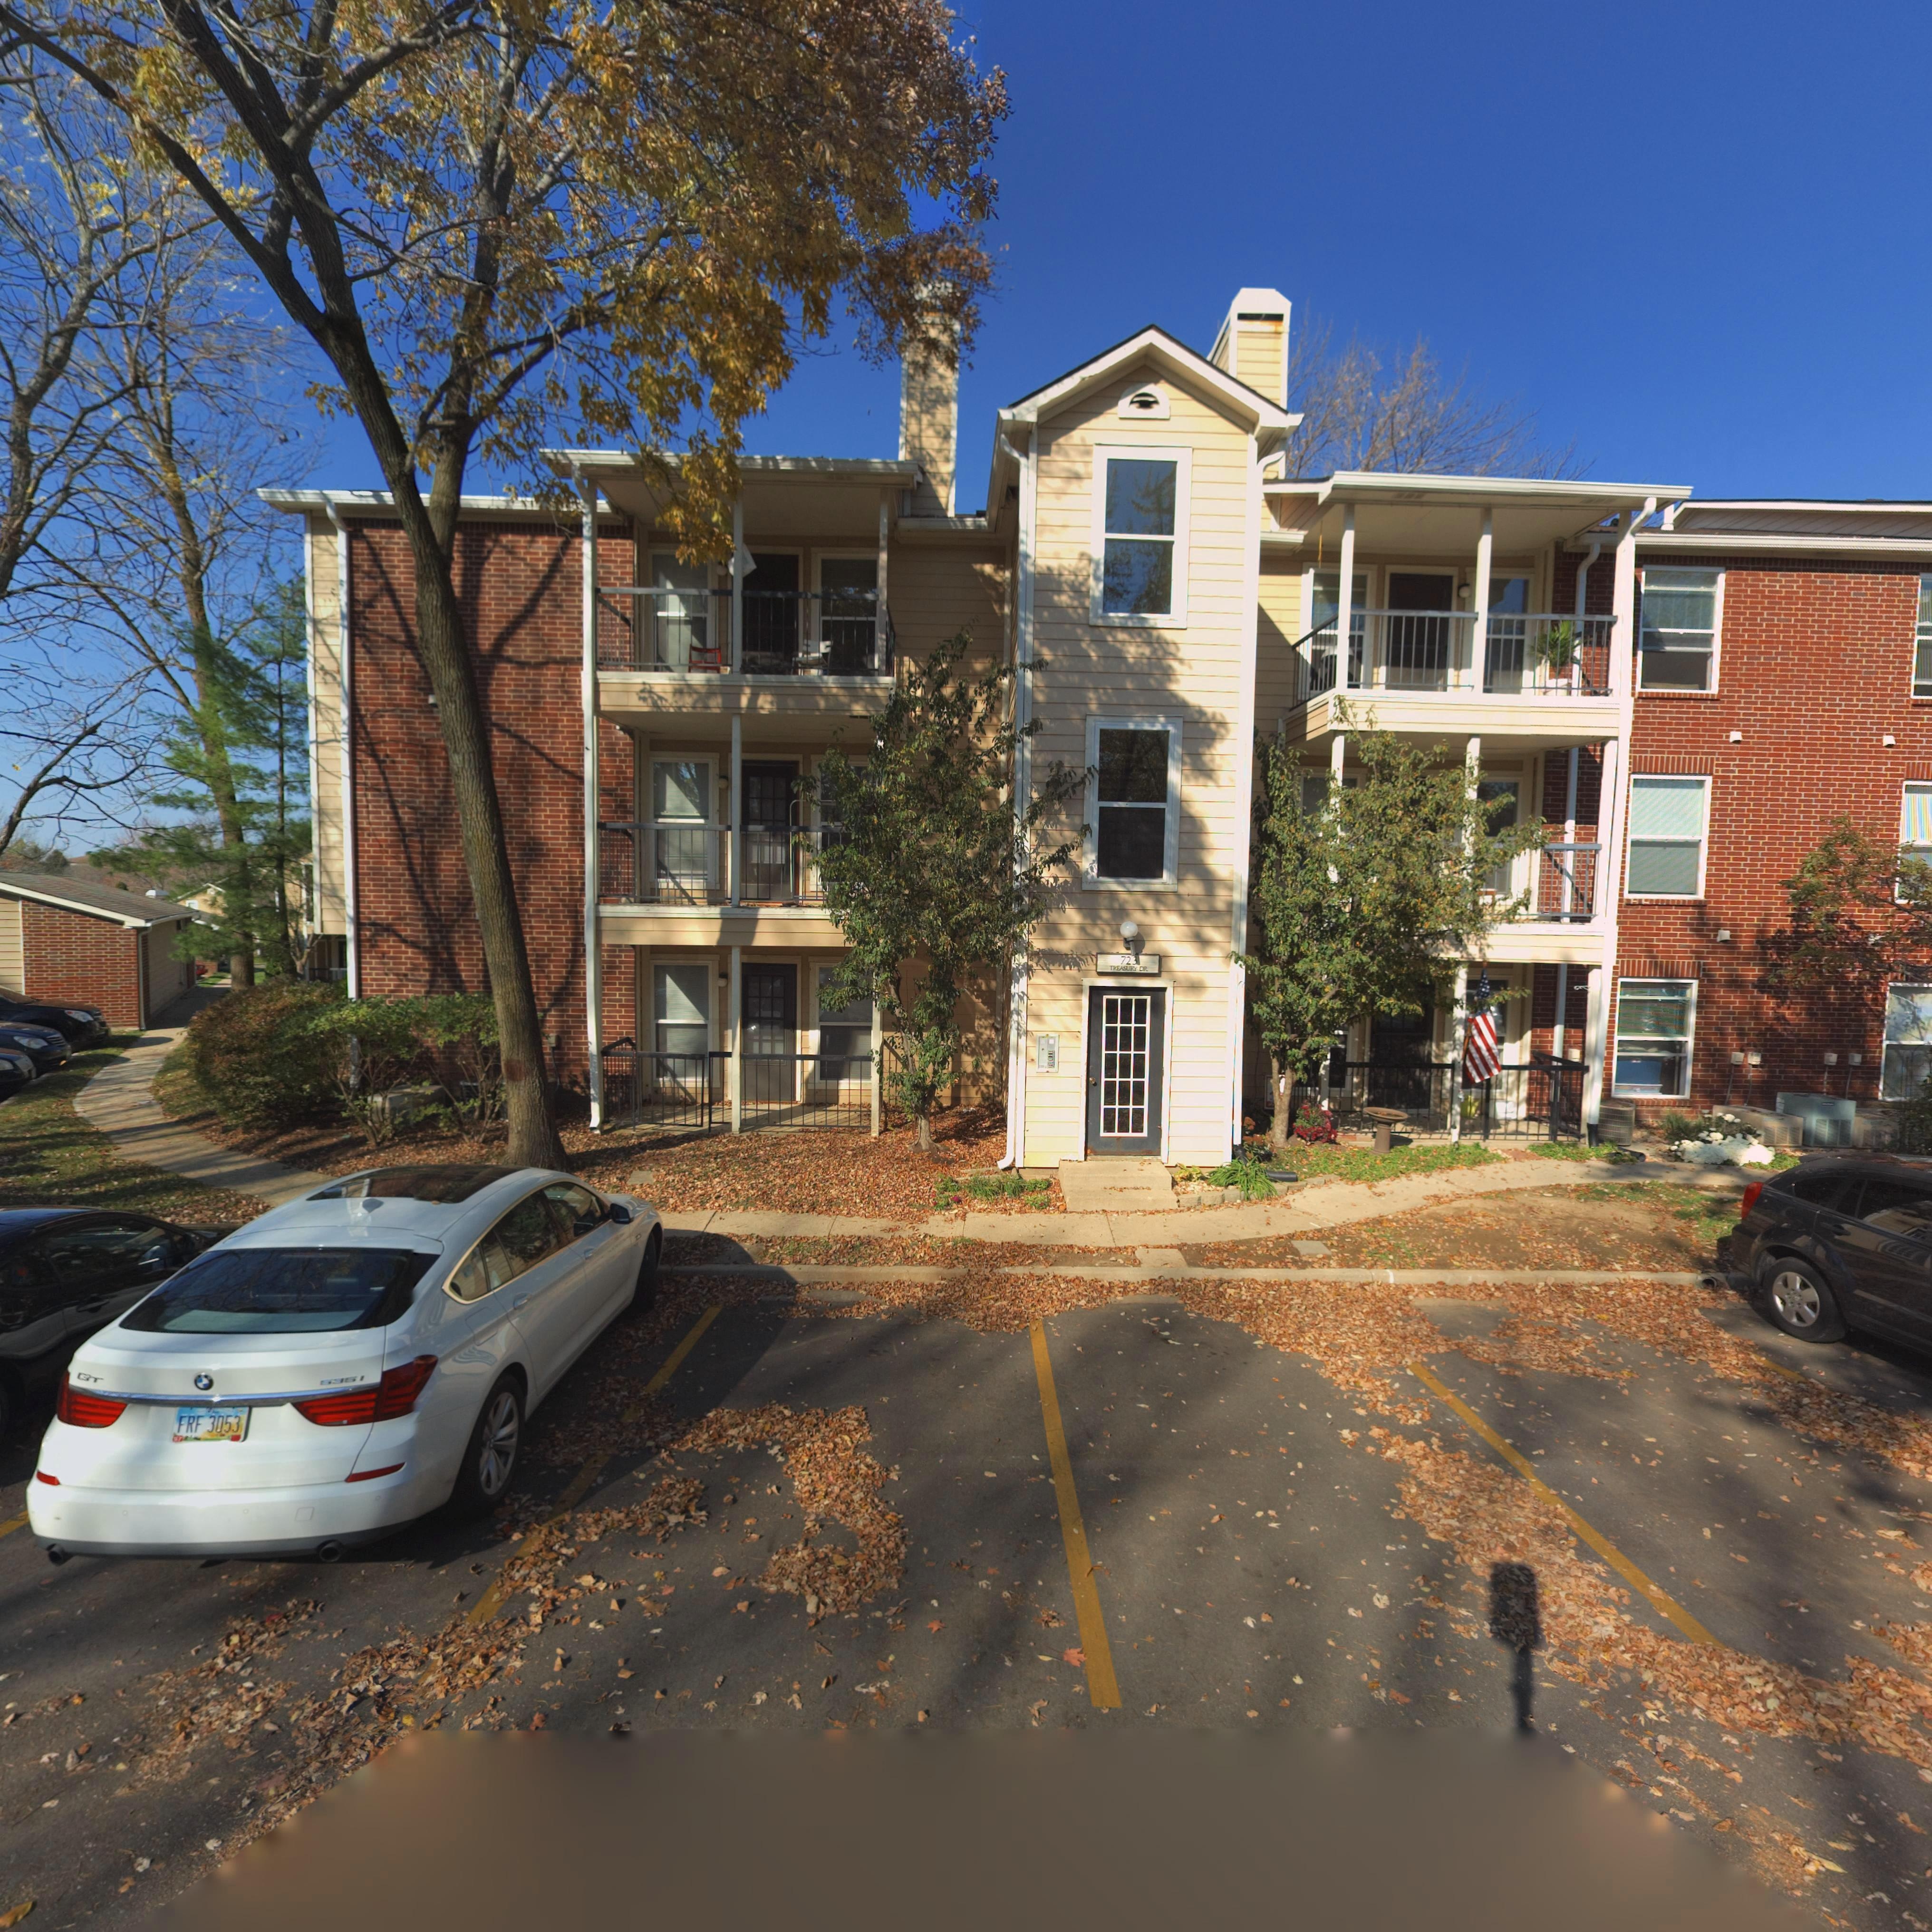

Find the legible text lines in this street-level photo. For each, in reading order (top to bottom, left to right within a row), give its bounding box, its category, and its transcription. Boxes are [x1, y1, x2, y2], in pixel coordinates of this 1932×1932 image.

[1120, 955, 1139, 966] StreetNumber: 723
[1109, 965, 1150, 973] StreetName: TREASURY DR
[75, 1370, 105, 1385] None: *T
[319, 1373, 366, 1387] None: *351
[176, 1413, 242, 1435] None: FRF 3053